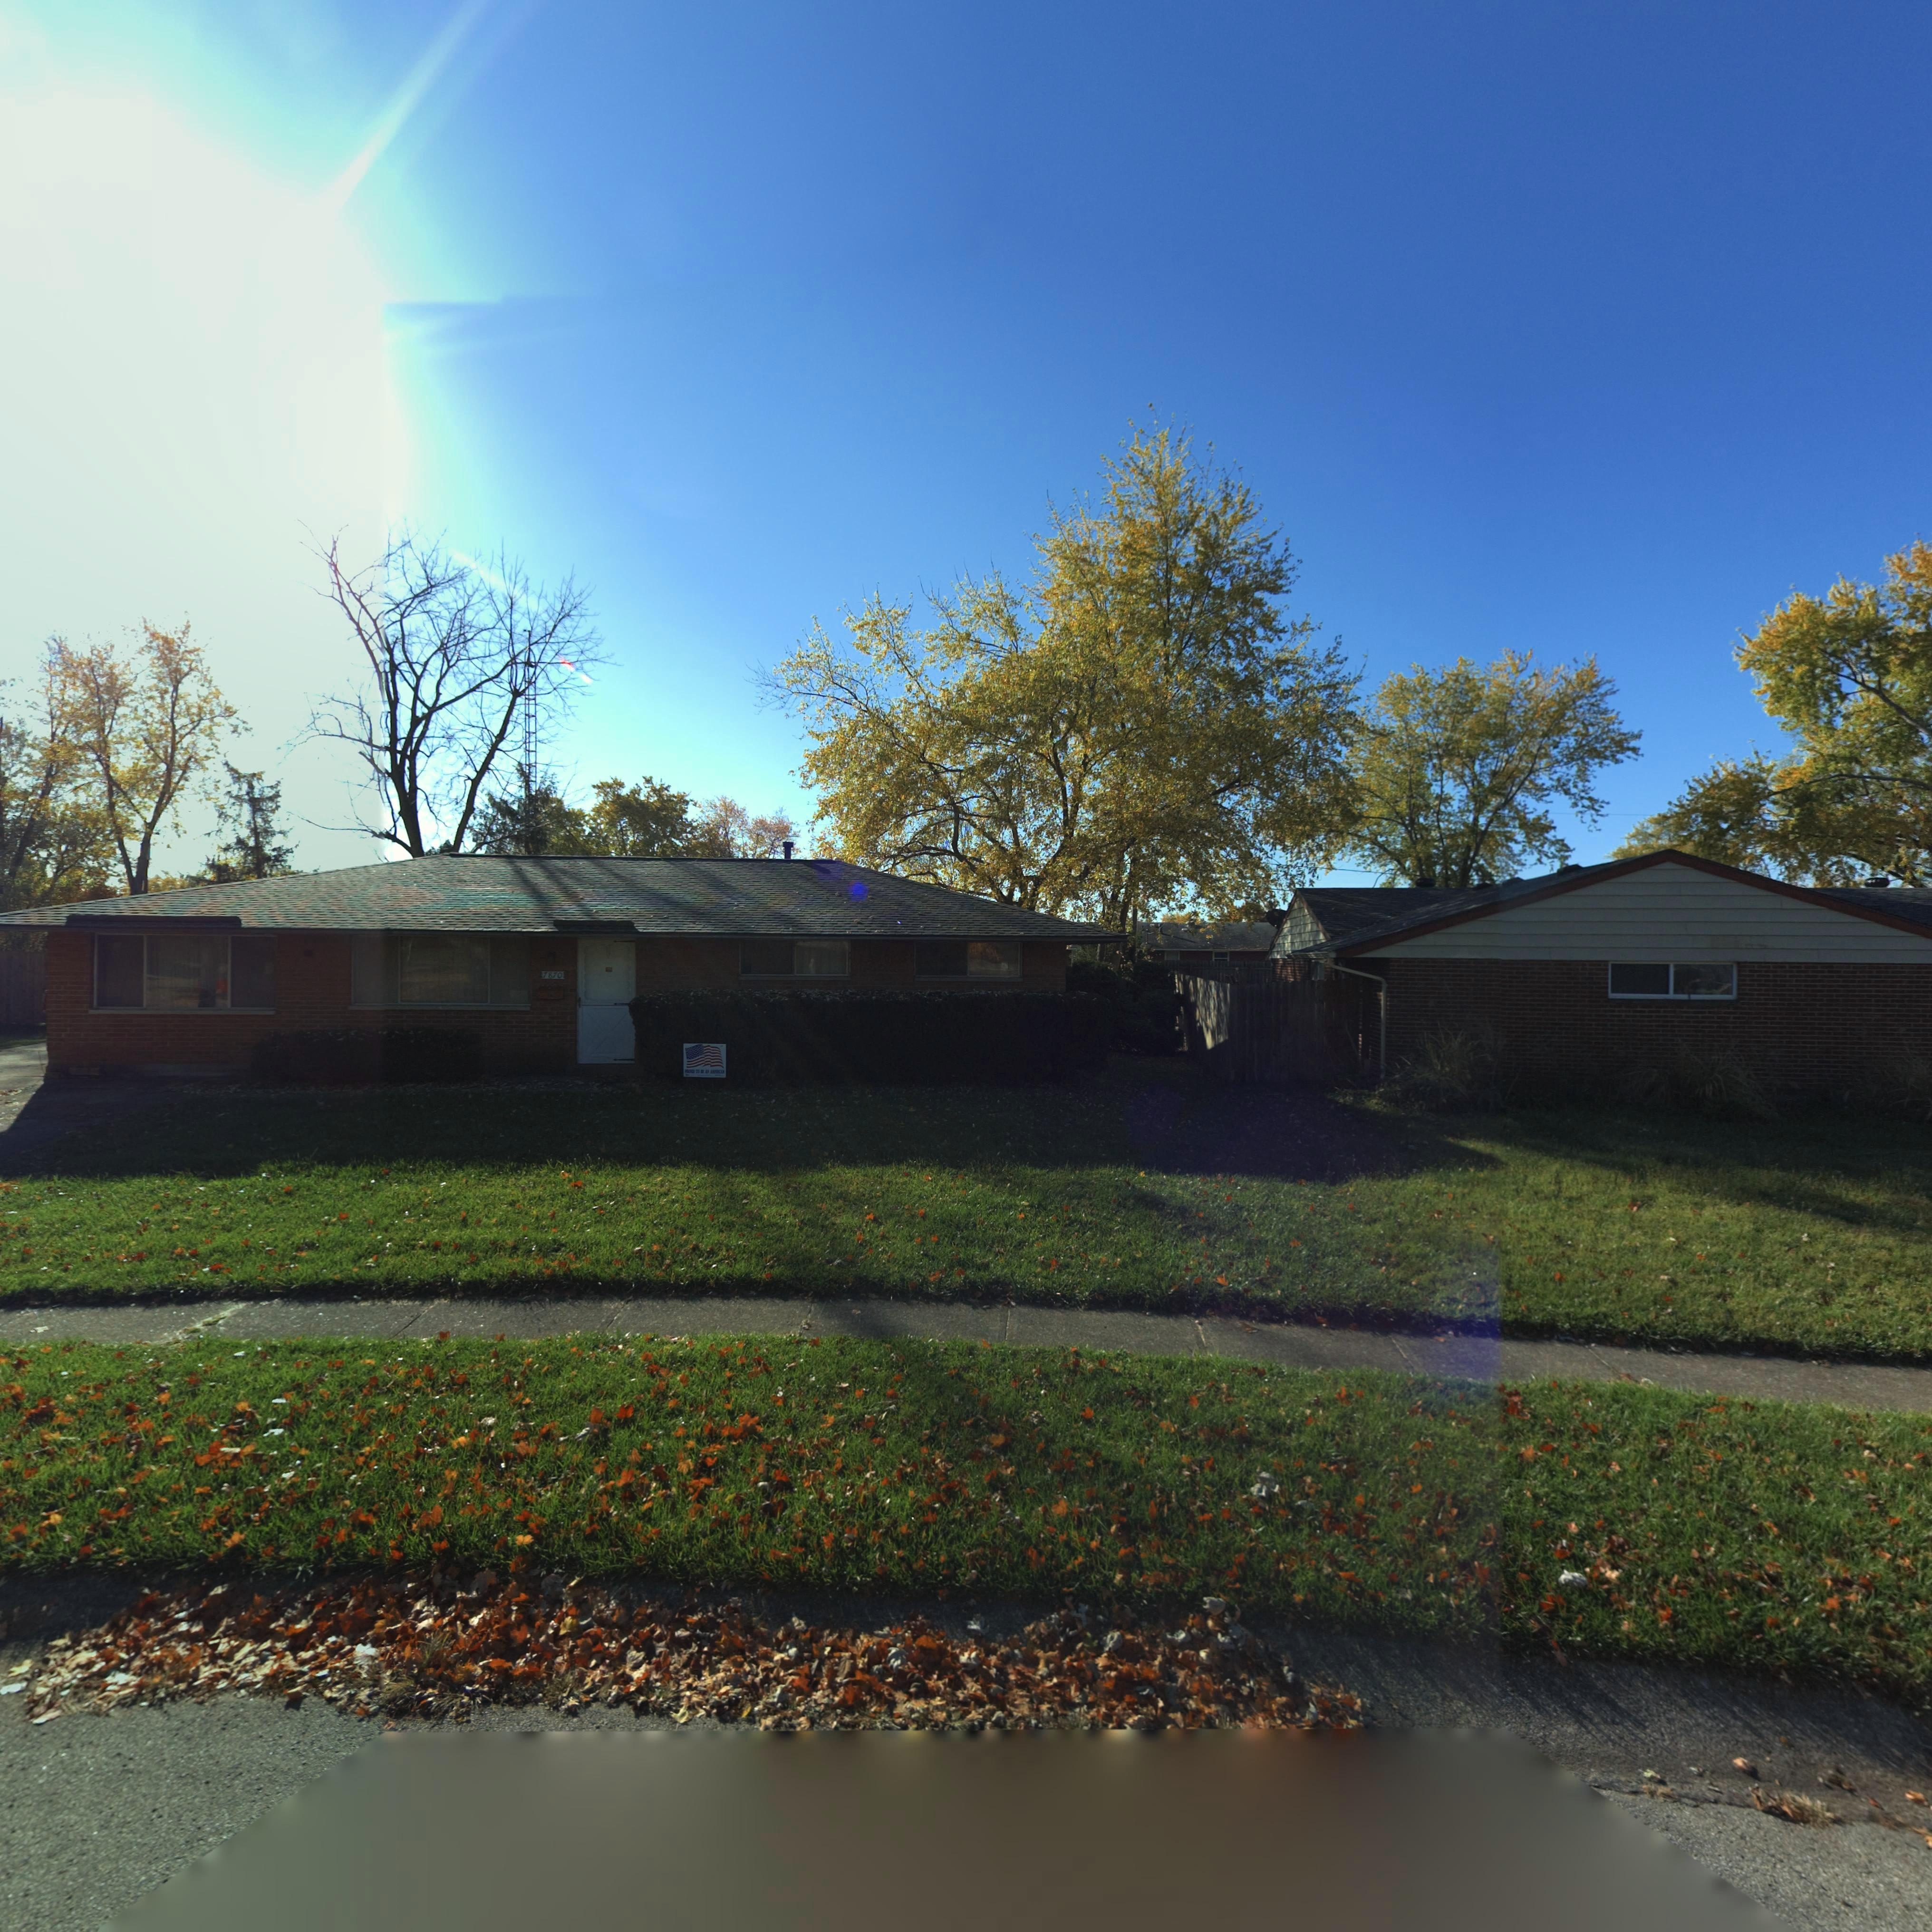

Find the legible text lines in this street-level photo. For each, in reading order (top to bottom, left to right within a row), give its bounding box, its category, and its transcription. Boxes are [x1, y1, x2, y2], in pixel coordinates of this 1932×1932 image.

[542, 971, 563, 979] StreetNumber: 7870